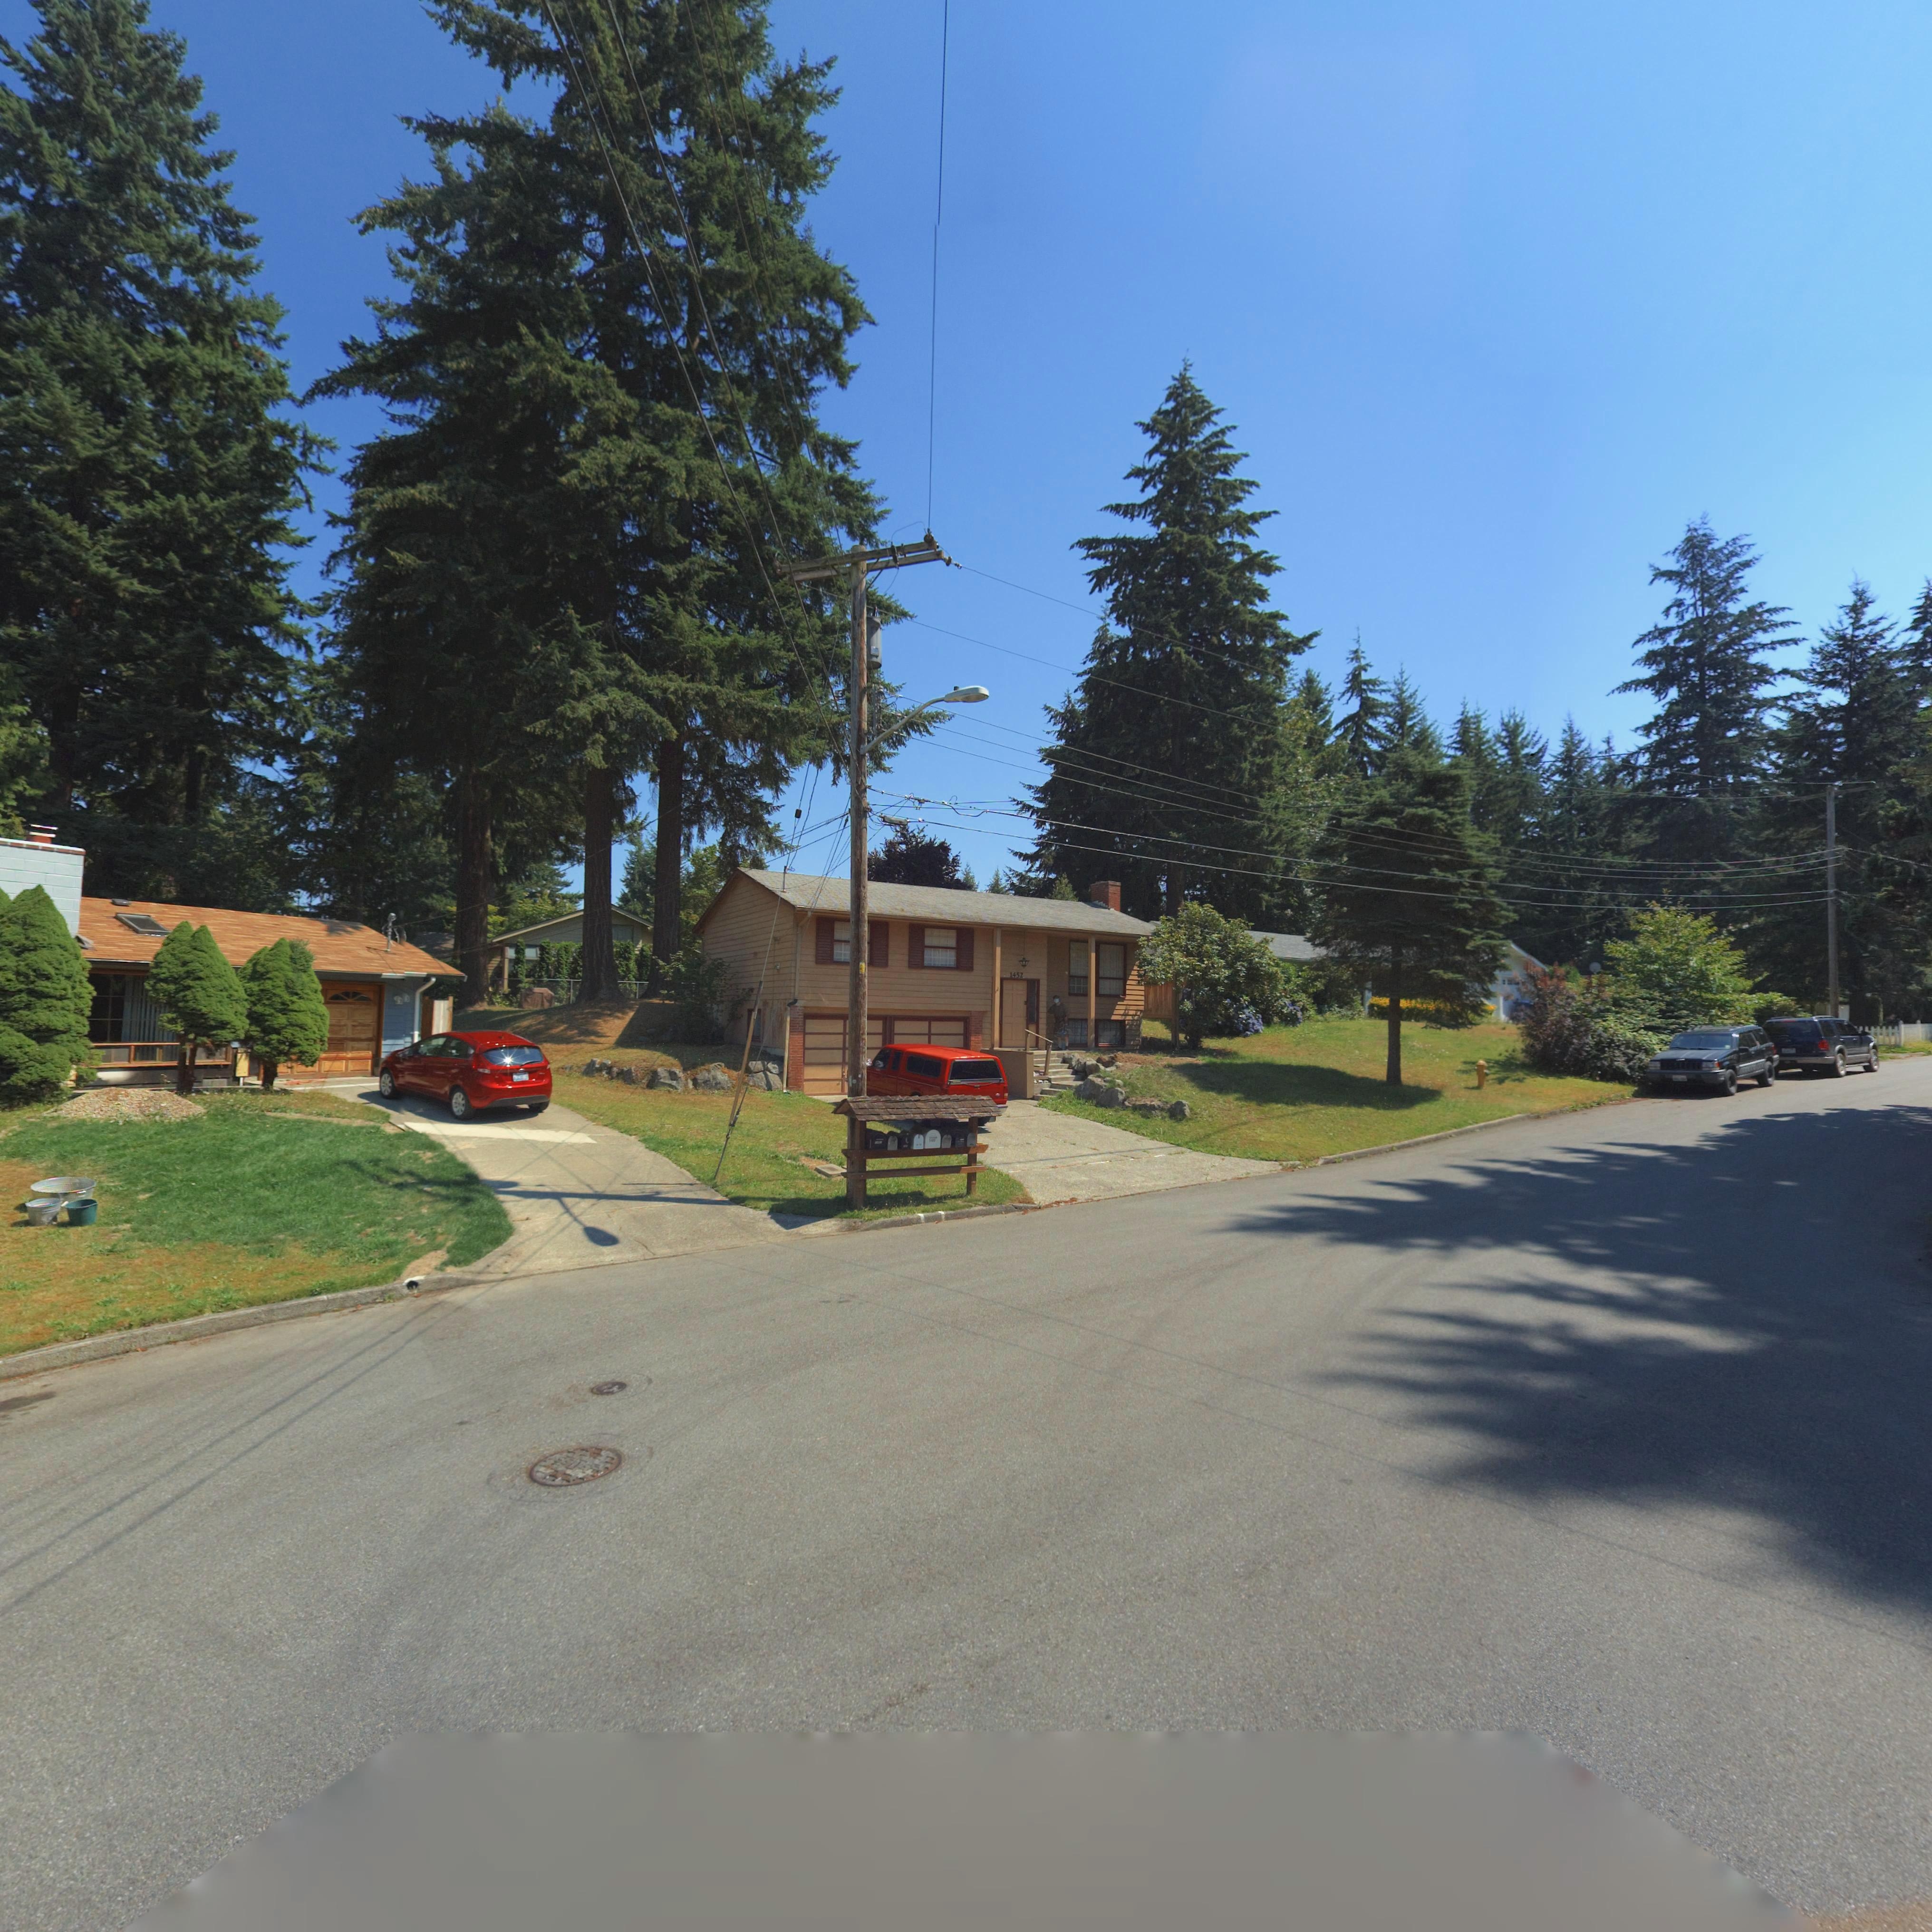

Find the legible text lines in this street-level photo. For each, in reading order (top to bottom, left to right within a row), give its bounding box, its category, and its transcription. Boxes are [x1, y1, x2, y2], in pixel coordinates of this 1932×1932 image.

[1010, 971, 1024, 978] StreetNumber: 1452